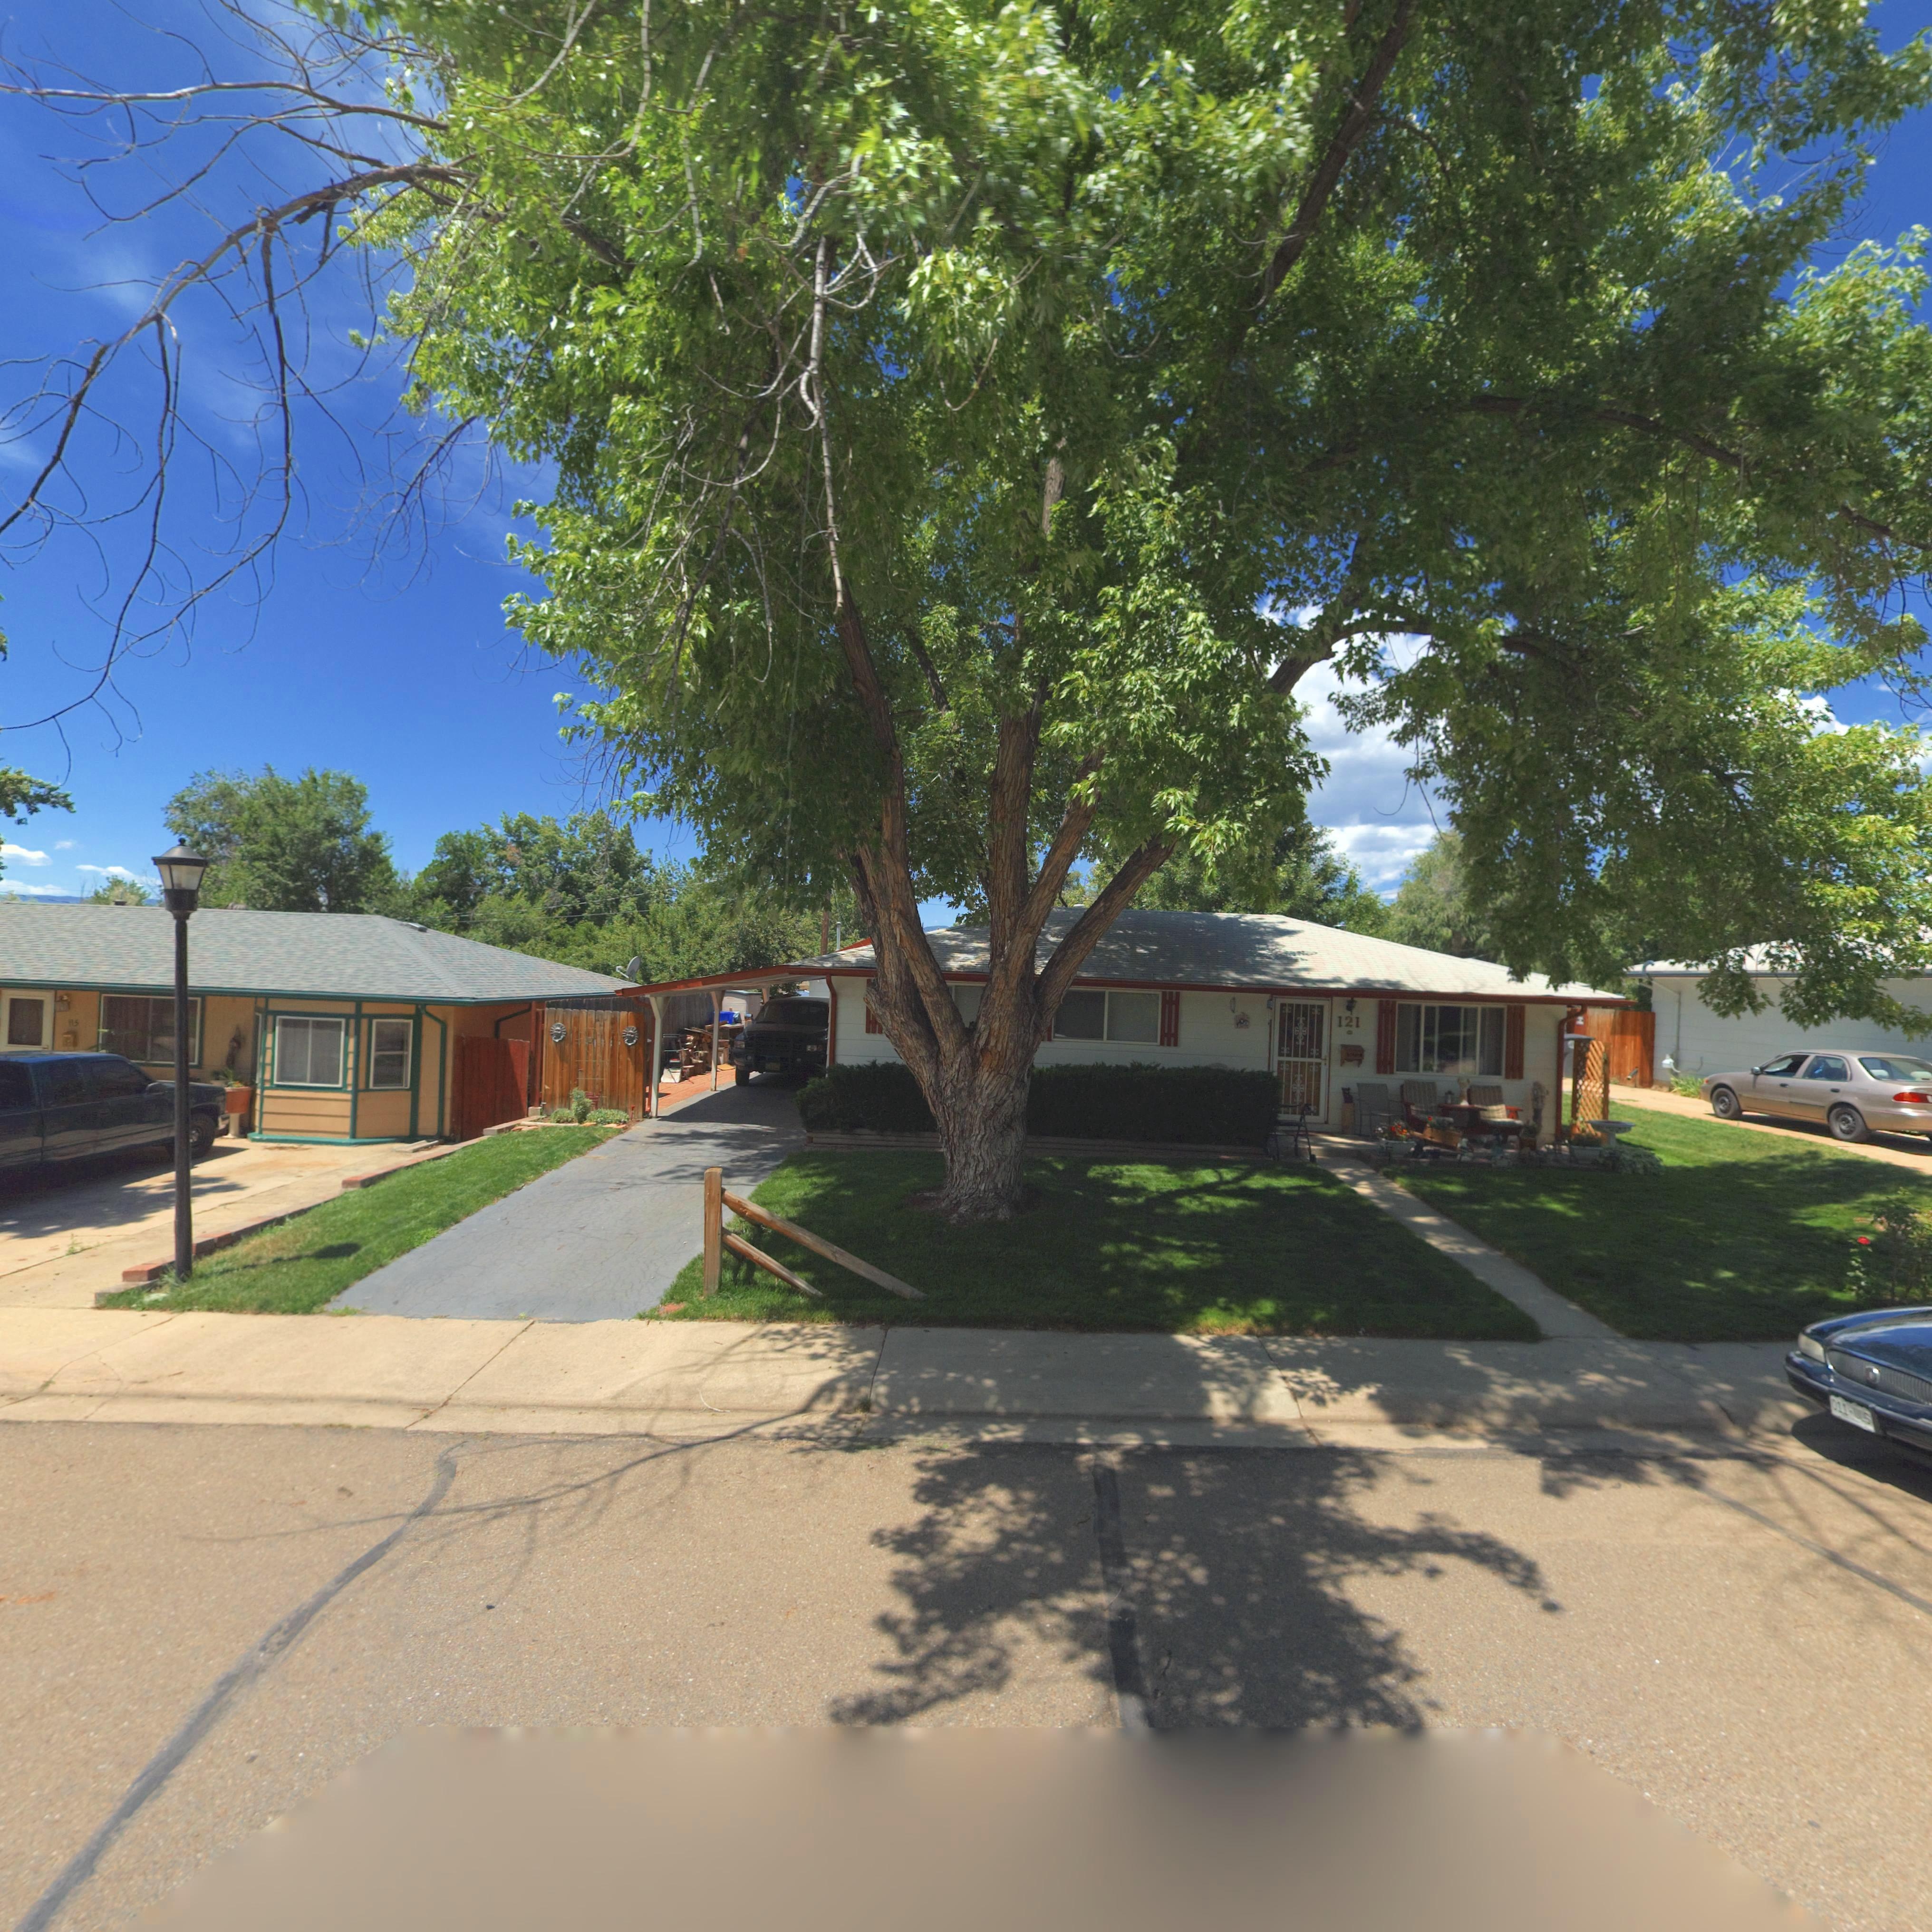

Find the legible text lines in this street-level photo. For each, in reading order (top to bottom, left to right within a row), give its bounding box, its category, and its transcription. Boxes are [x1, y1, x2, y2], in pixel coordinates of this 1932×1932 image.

[68, 1019, 79, 1026] StreetNumber: 115
[1337, 1015, 1359, 1027] StreetNumber: 121